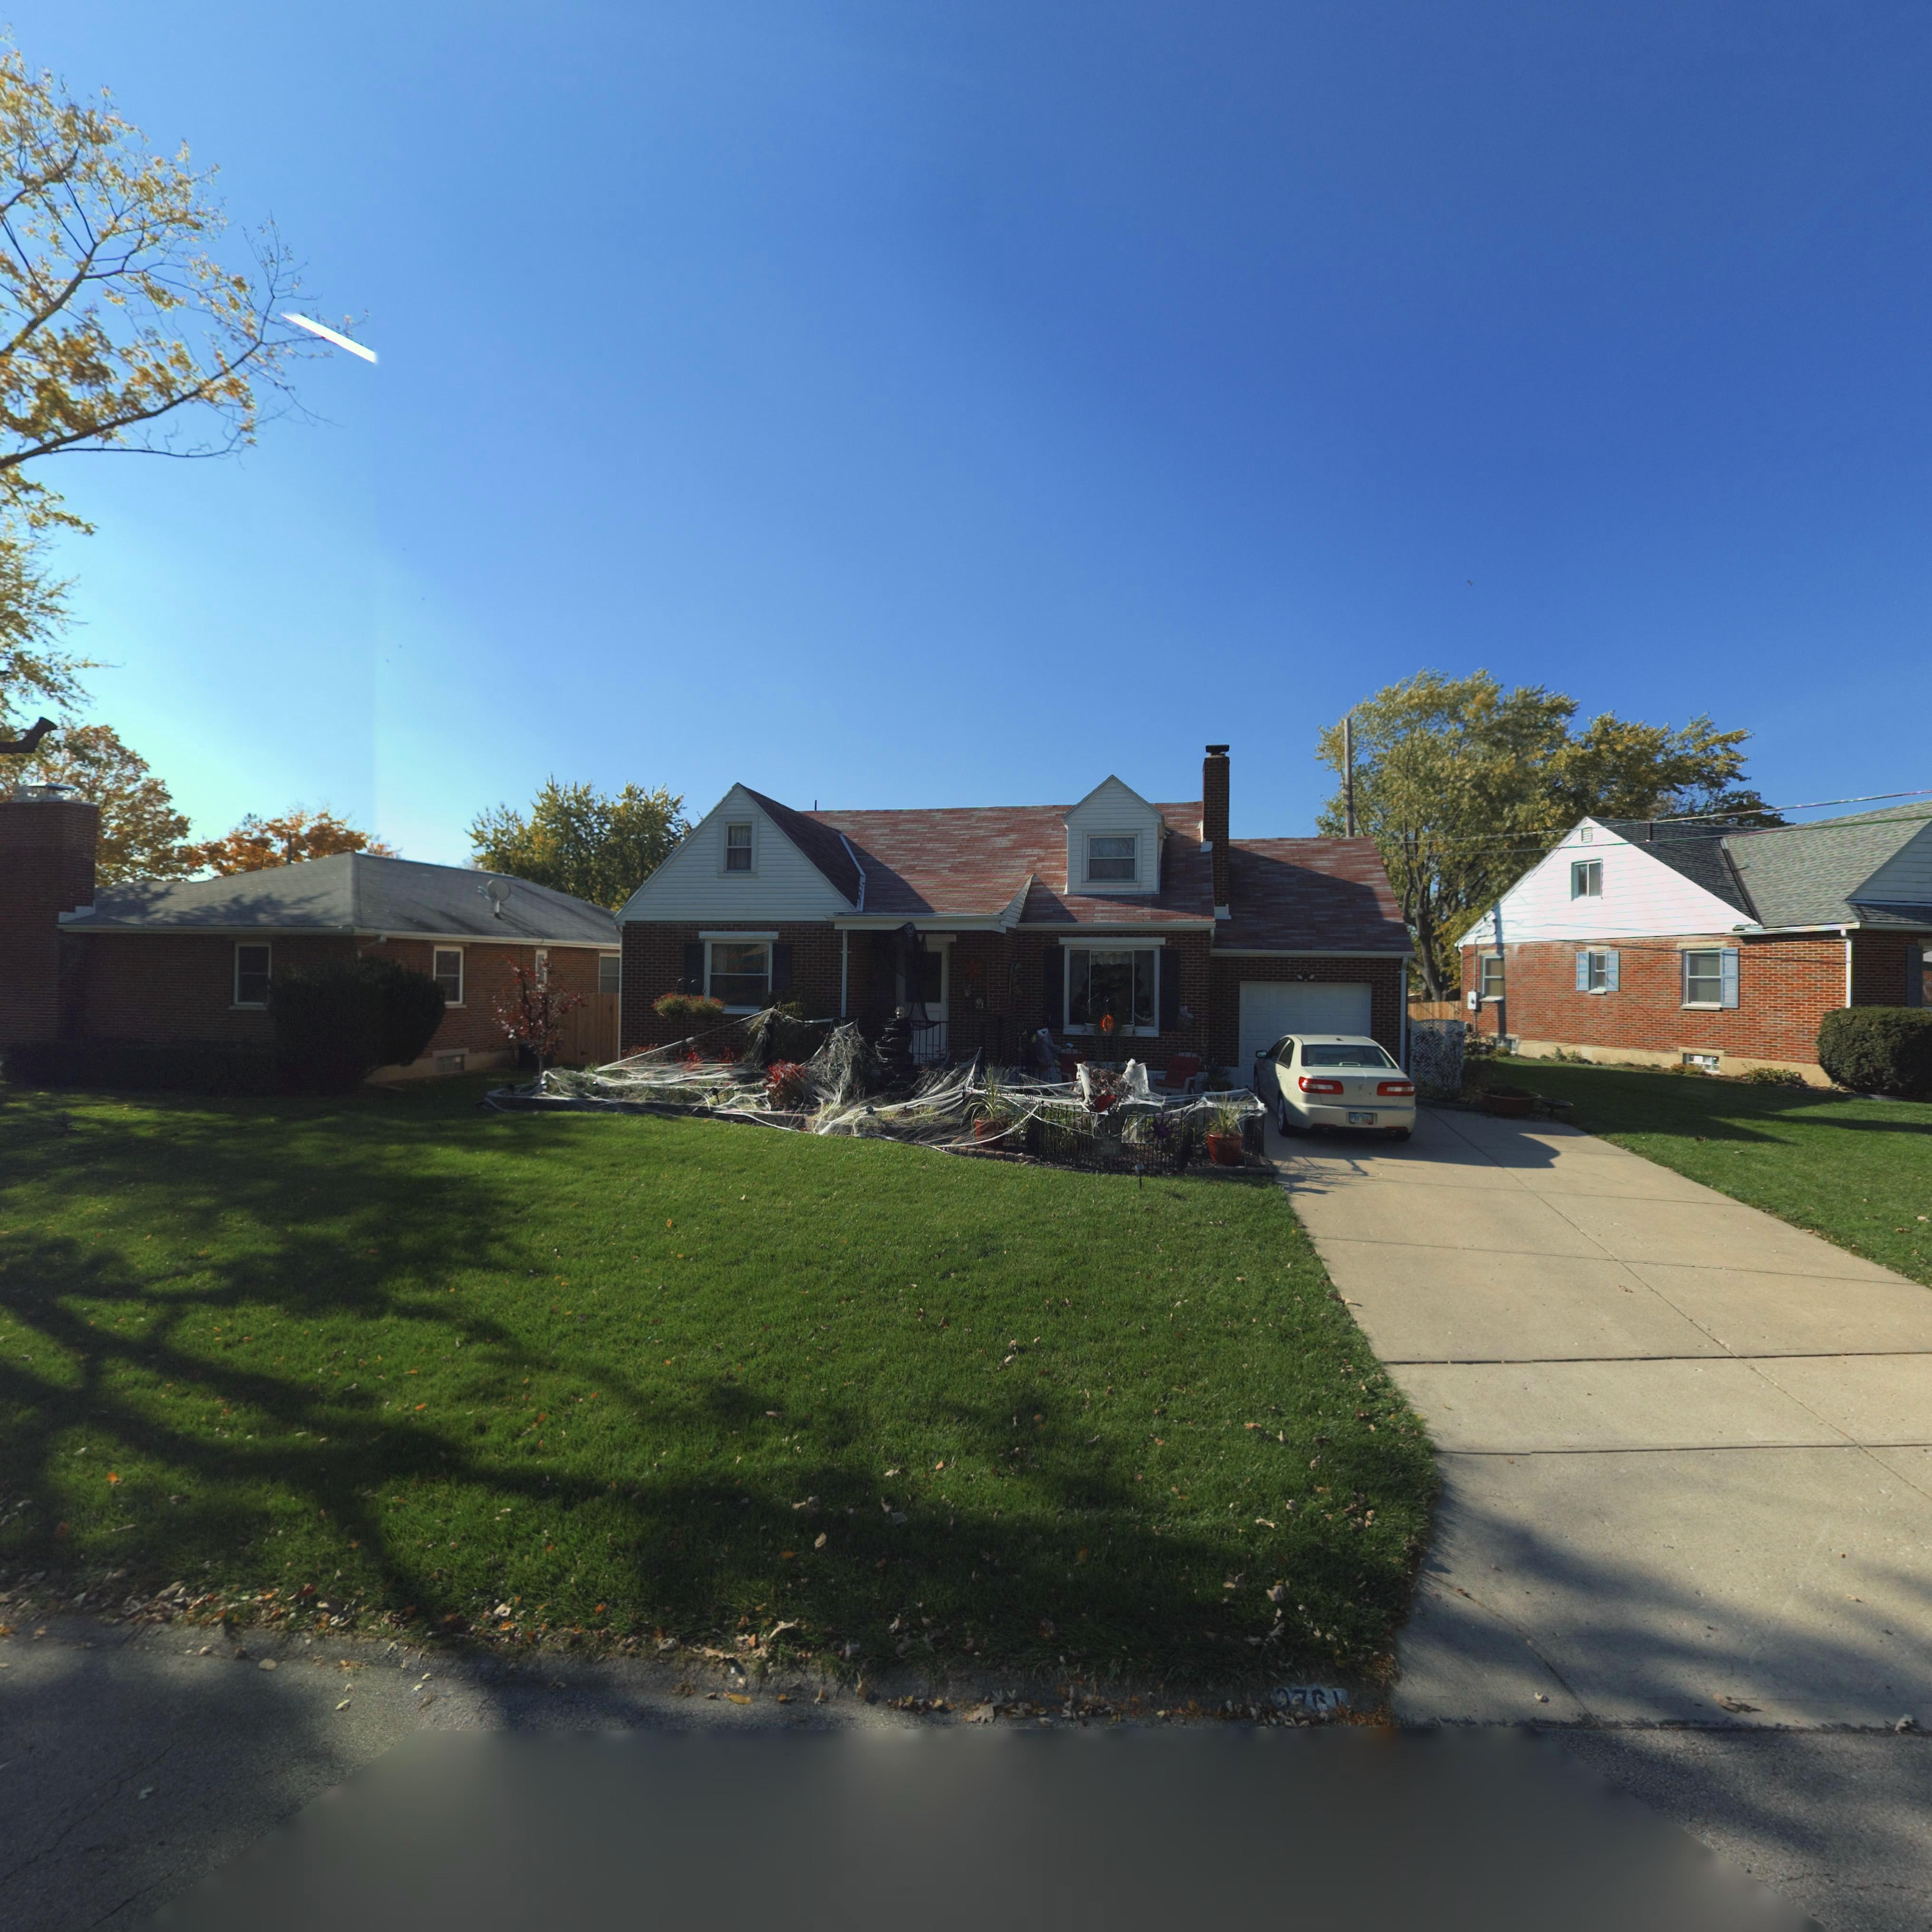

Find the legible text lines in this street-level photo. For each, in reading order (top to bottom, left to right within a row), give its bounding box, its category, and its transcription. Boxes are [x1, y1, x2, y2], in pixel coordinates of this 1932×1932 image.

[1350, 1115, 1372, 1123] None: FB**96*2
[1099, 1146, 1116, 1155] StreetNumber: 3761
[1275, 1688, 1343, 1710] StreetNumber: ***1